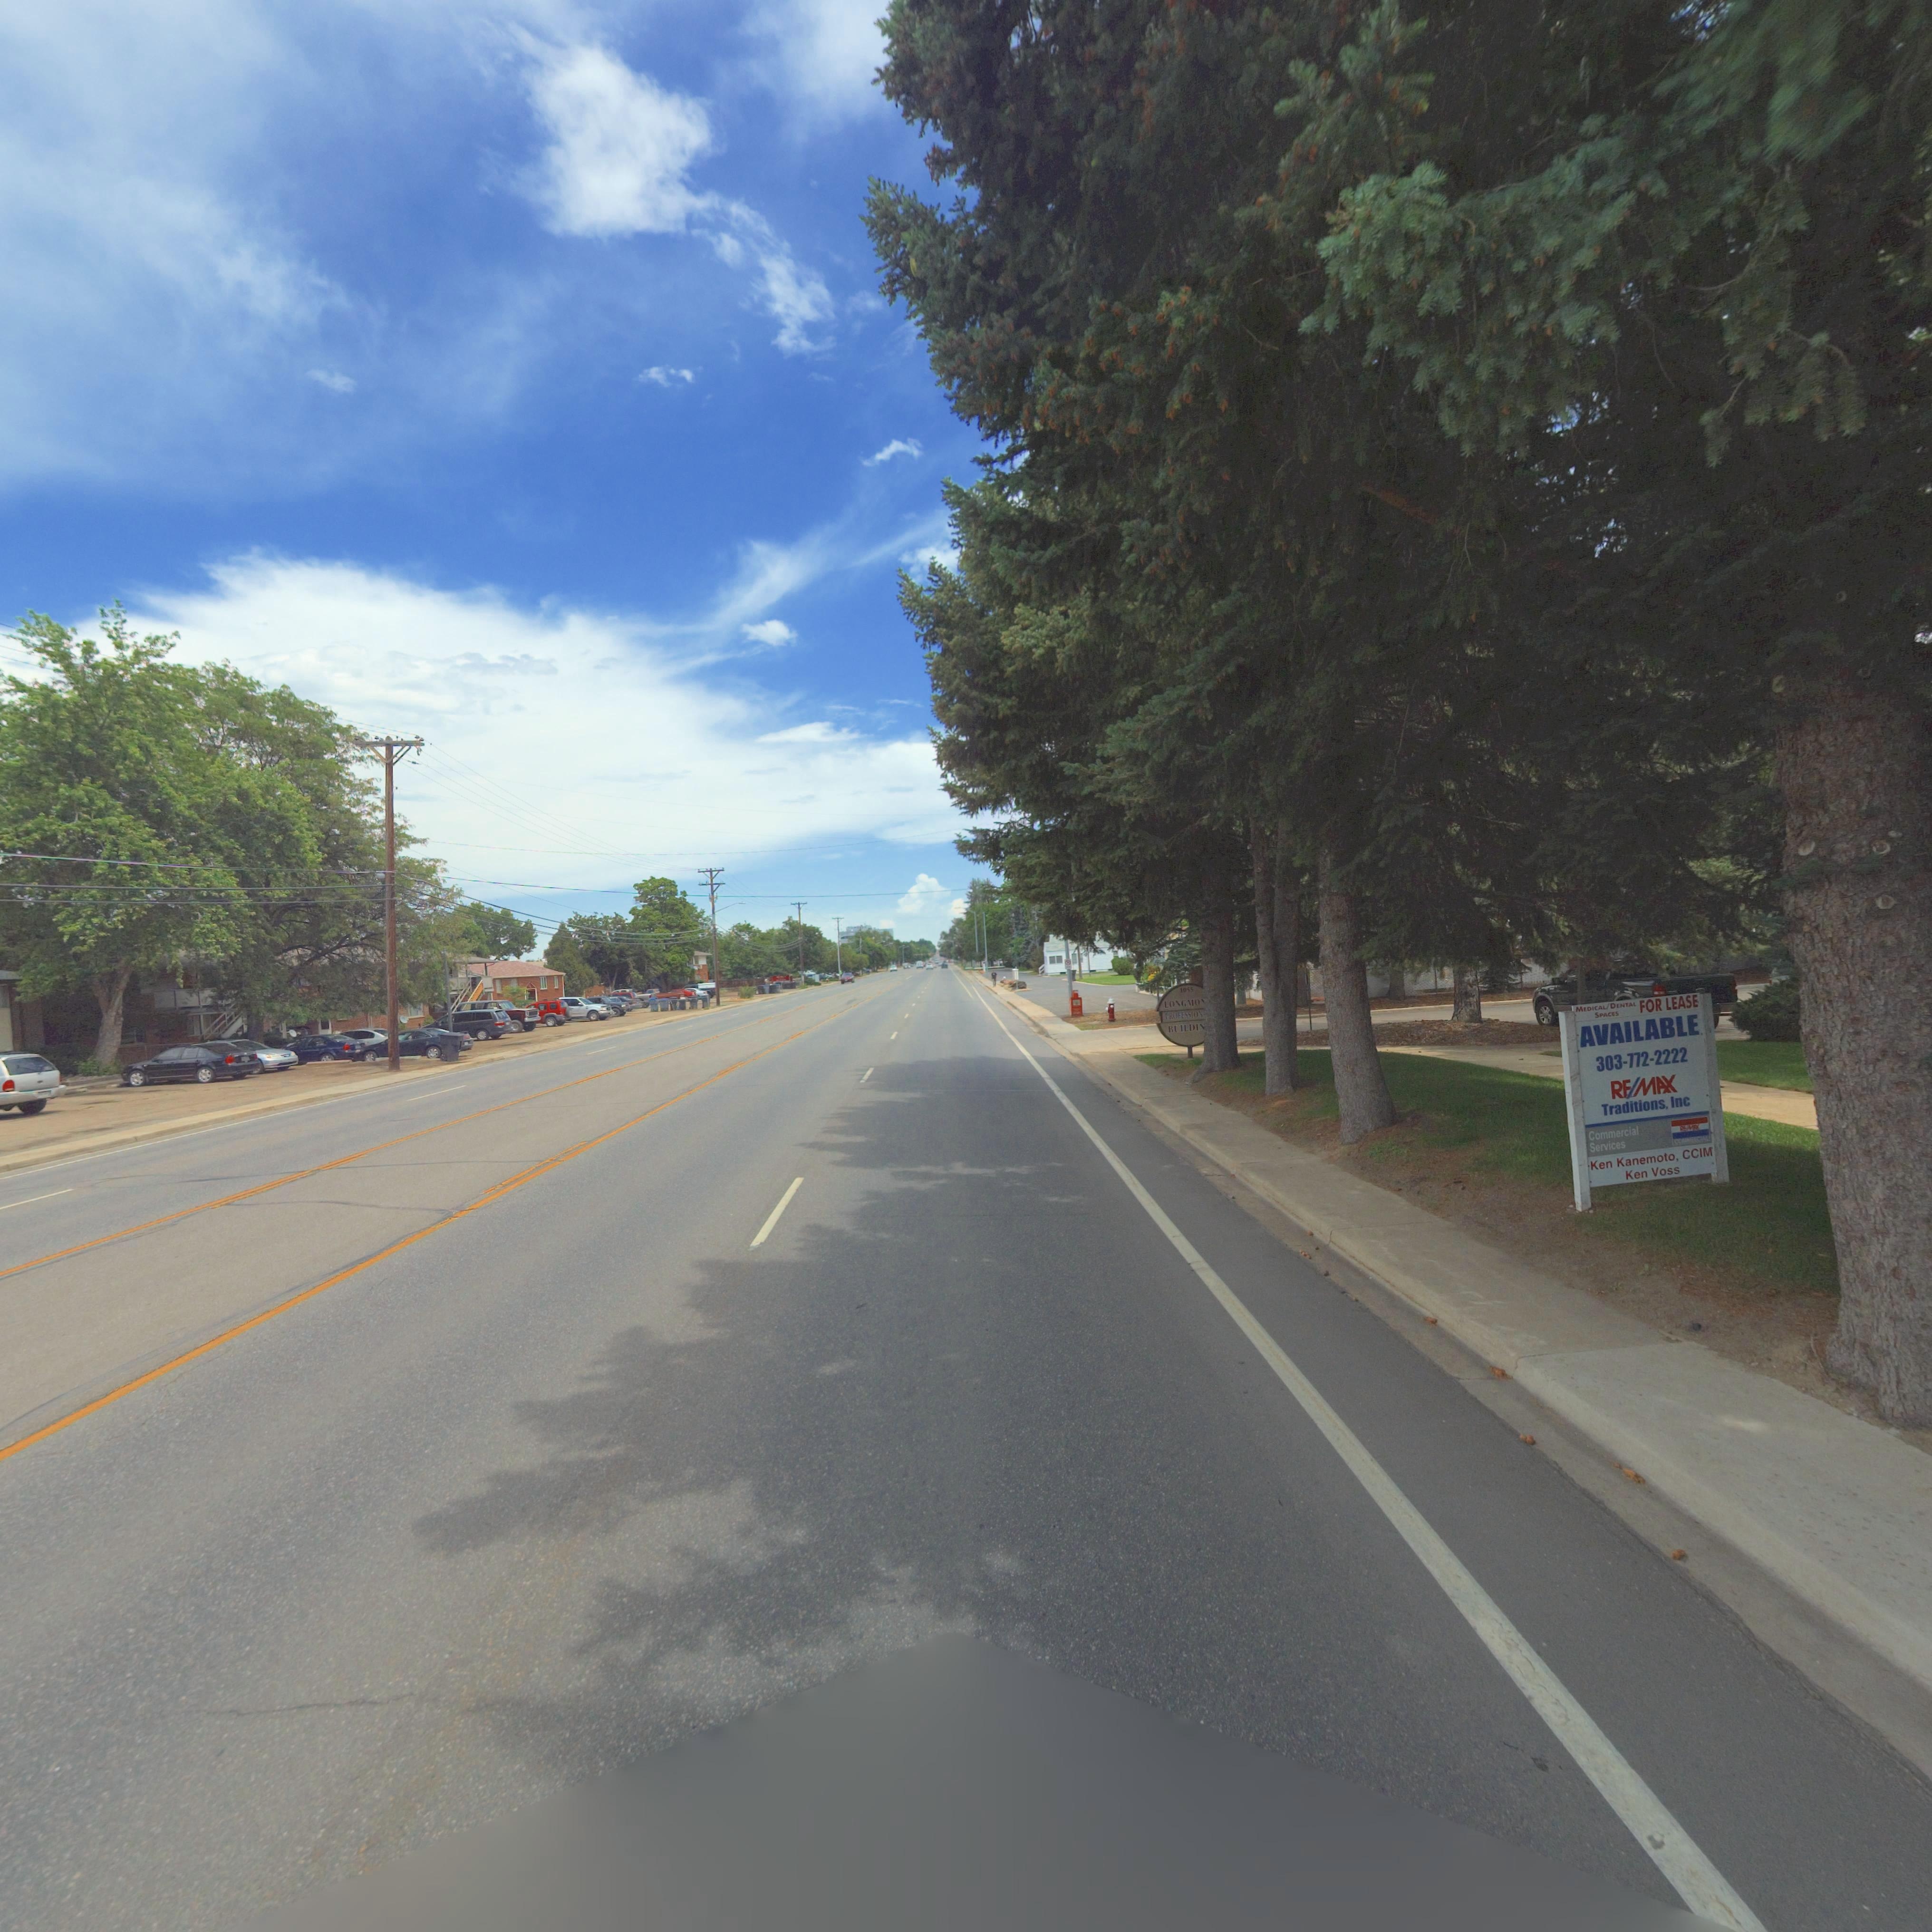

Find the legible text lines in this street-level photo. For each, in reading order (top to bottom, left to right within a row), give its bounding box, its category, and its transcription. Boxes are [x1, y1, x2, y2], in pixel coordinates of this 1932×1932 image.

[1180, 986, 1194, 993] StreetNumber: 1055